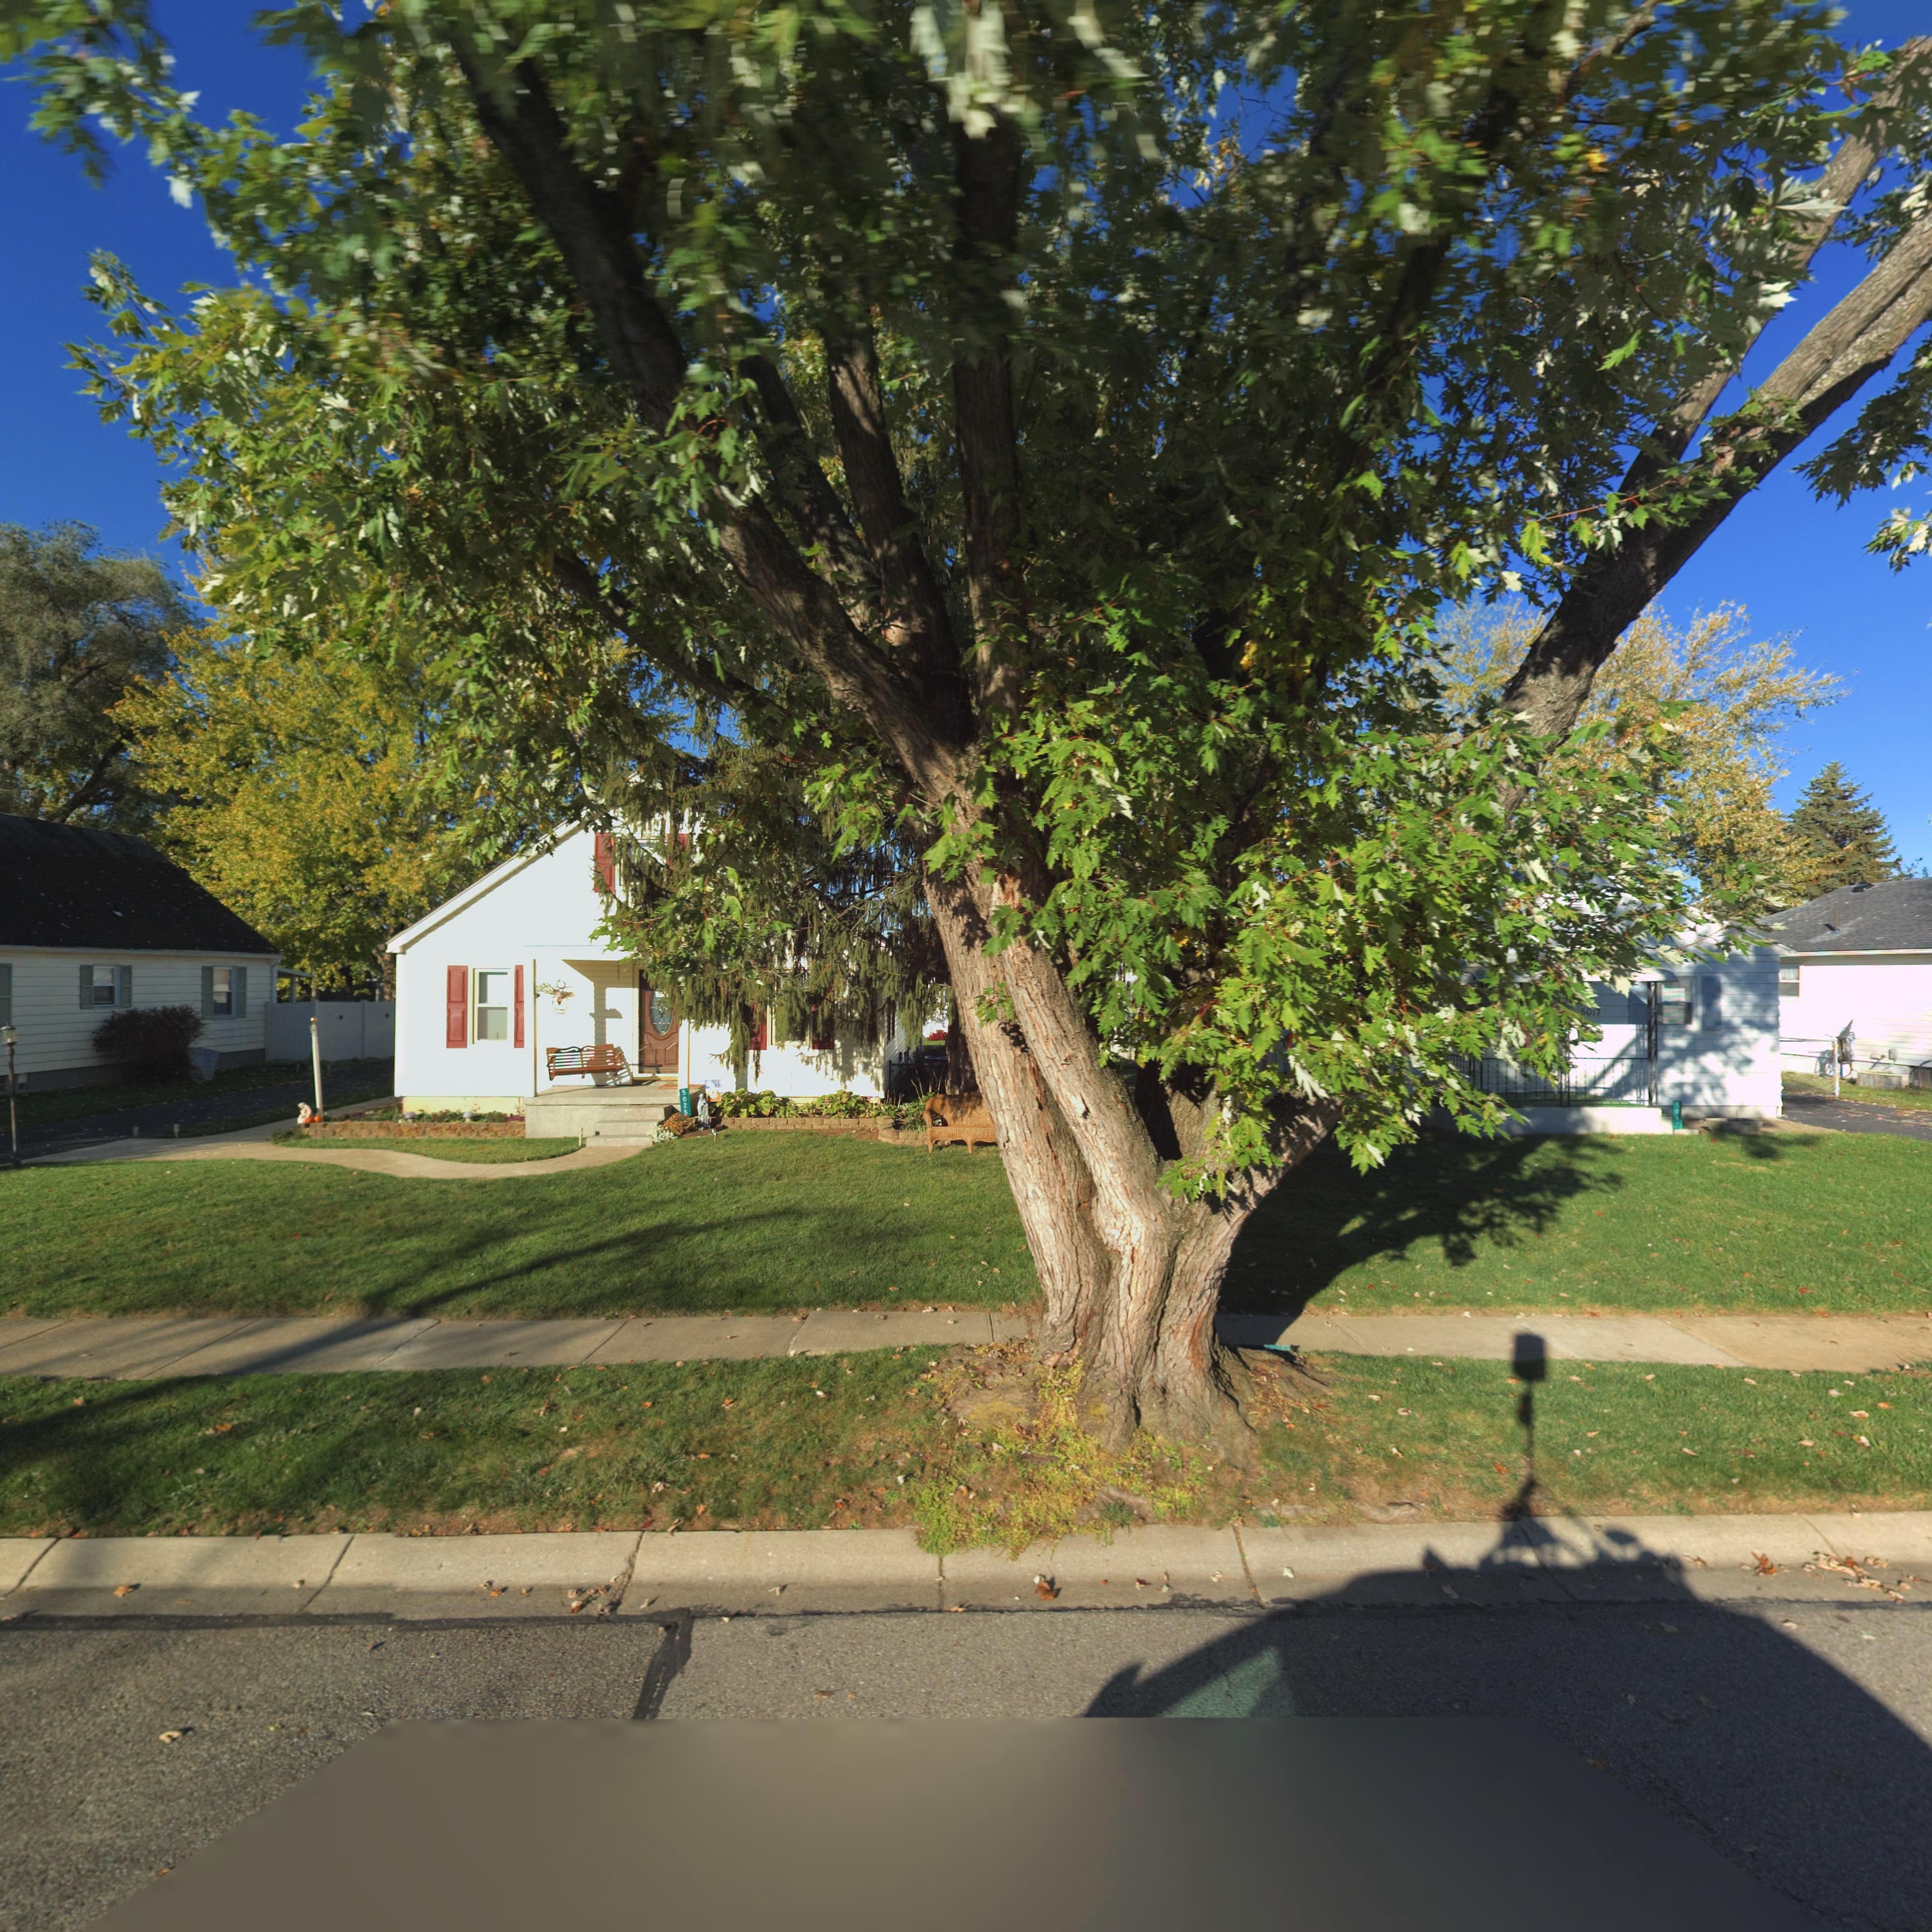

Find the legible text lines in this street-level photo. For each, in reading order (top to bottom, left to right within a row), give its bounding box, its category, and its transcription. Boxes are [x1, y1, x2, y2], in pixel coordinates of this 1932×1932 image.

[1579, 1007, 1603, 1017] StreetNumber: 5017
[681, 1089, 688, 1117] StreetNumber: 5025
[1674, 1101, 1680, 1128] StreetNumber: 5017